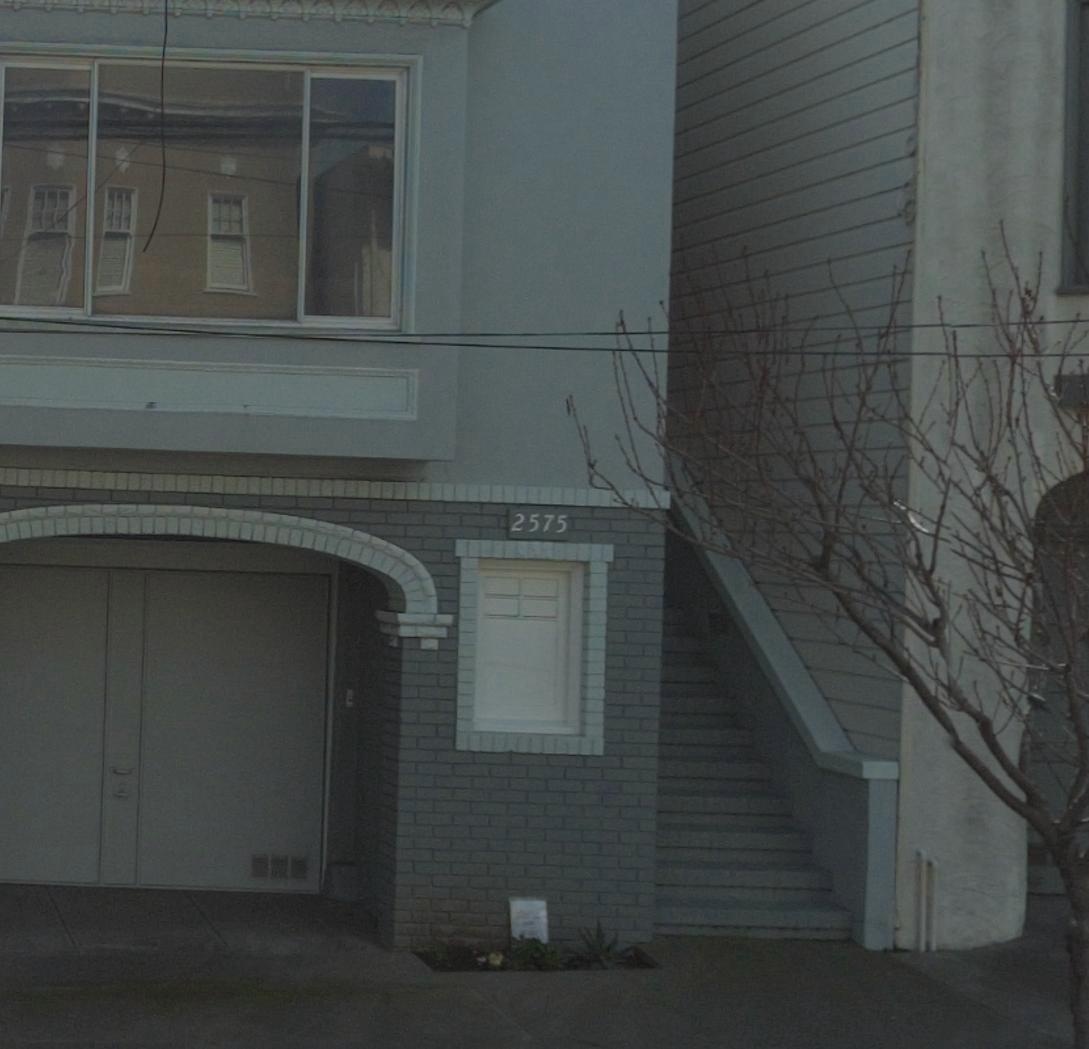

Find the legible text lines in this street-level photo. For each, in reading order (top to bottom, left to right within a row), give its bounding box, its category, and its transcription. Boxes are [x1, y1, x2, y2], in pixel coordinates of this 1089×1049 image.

[507, 511, 570, 535] StreetNumber: 2575